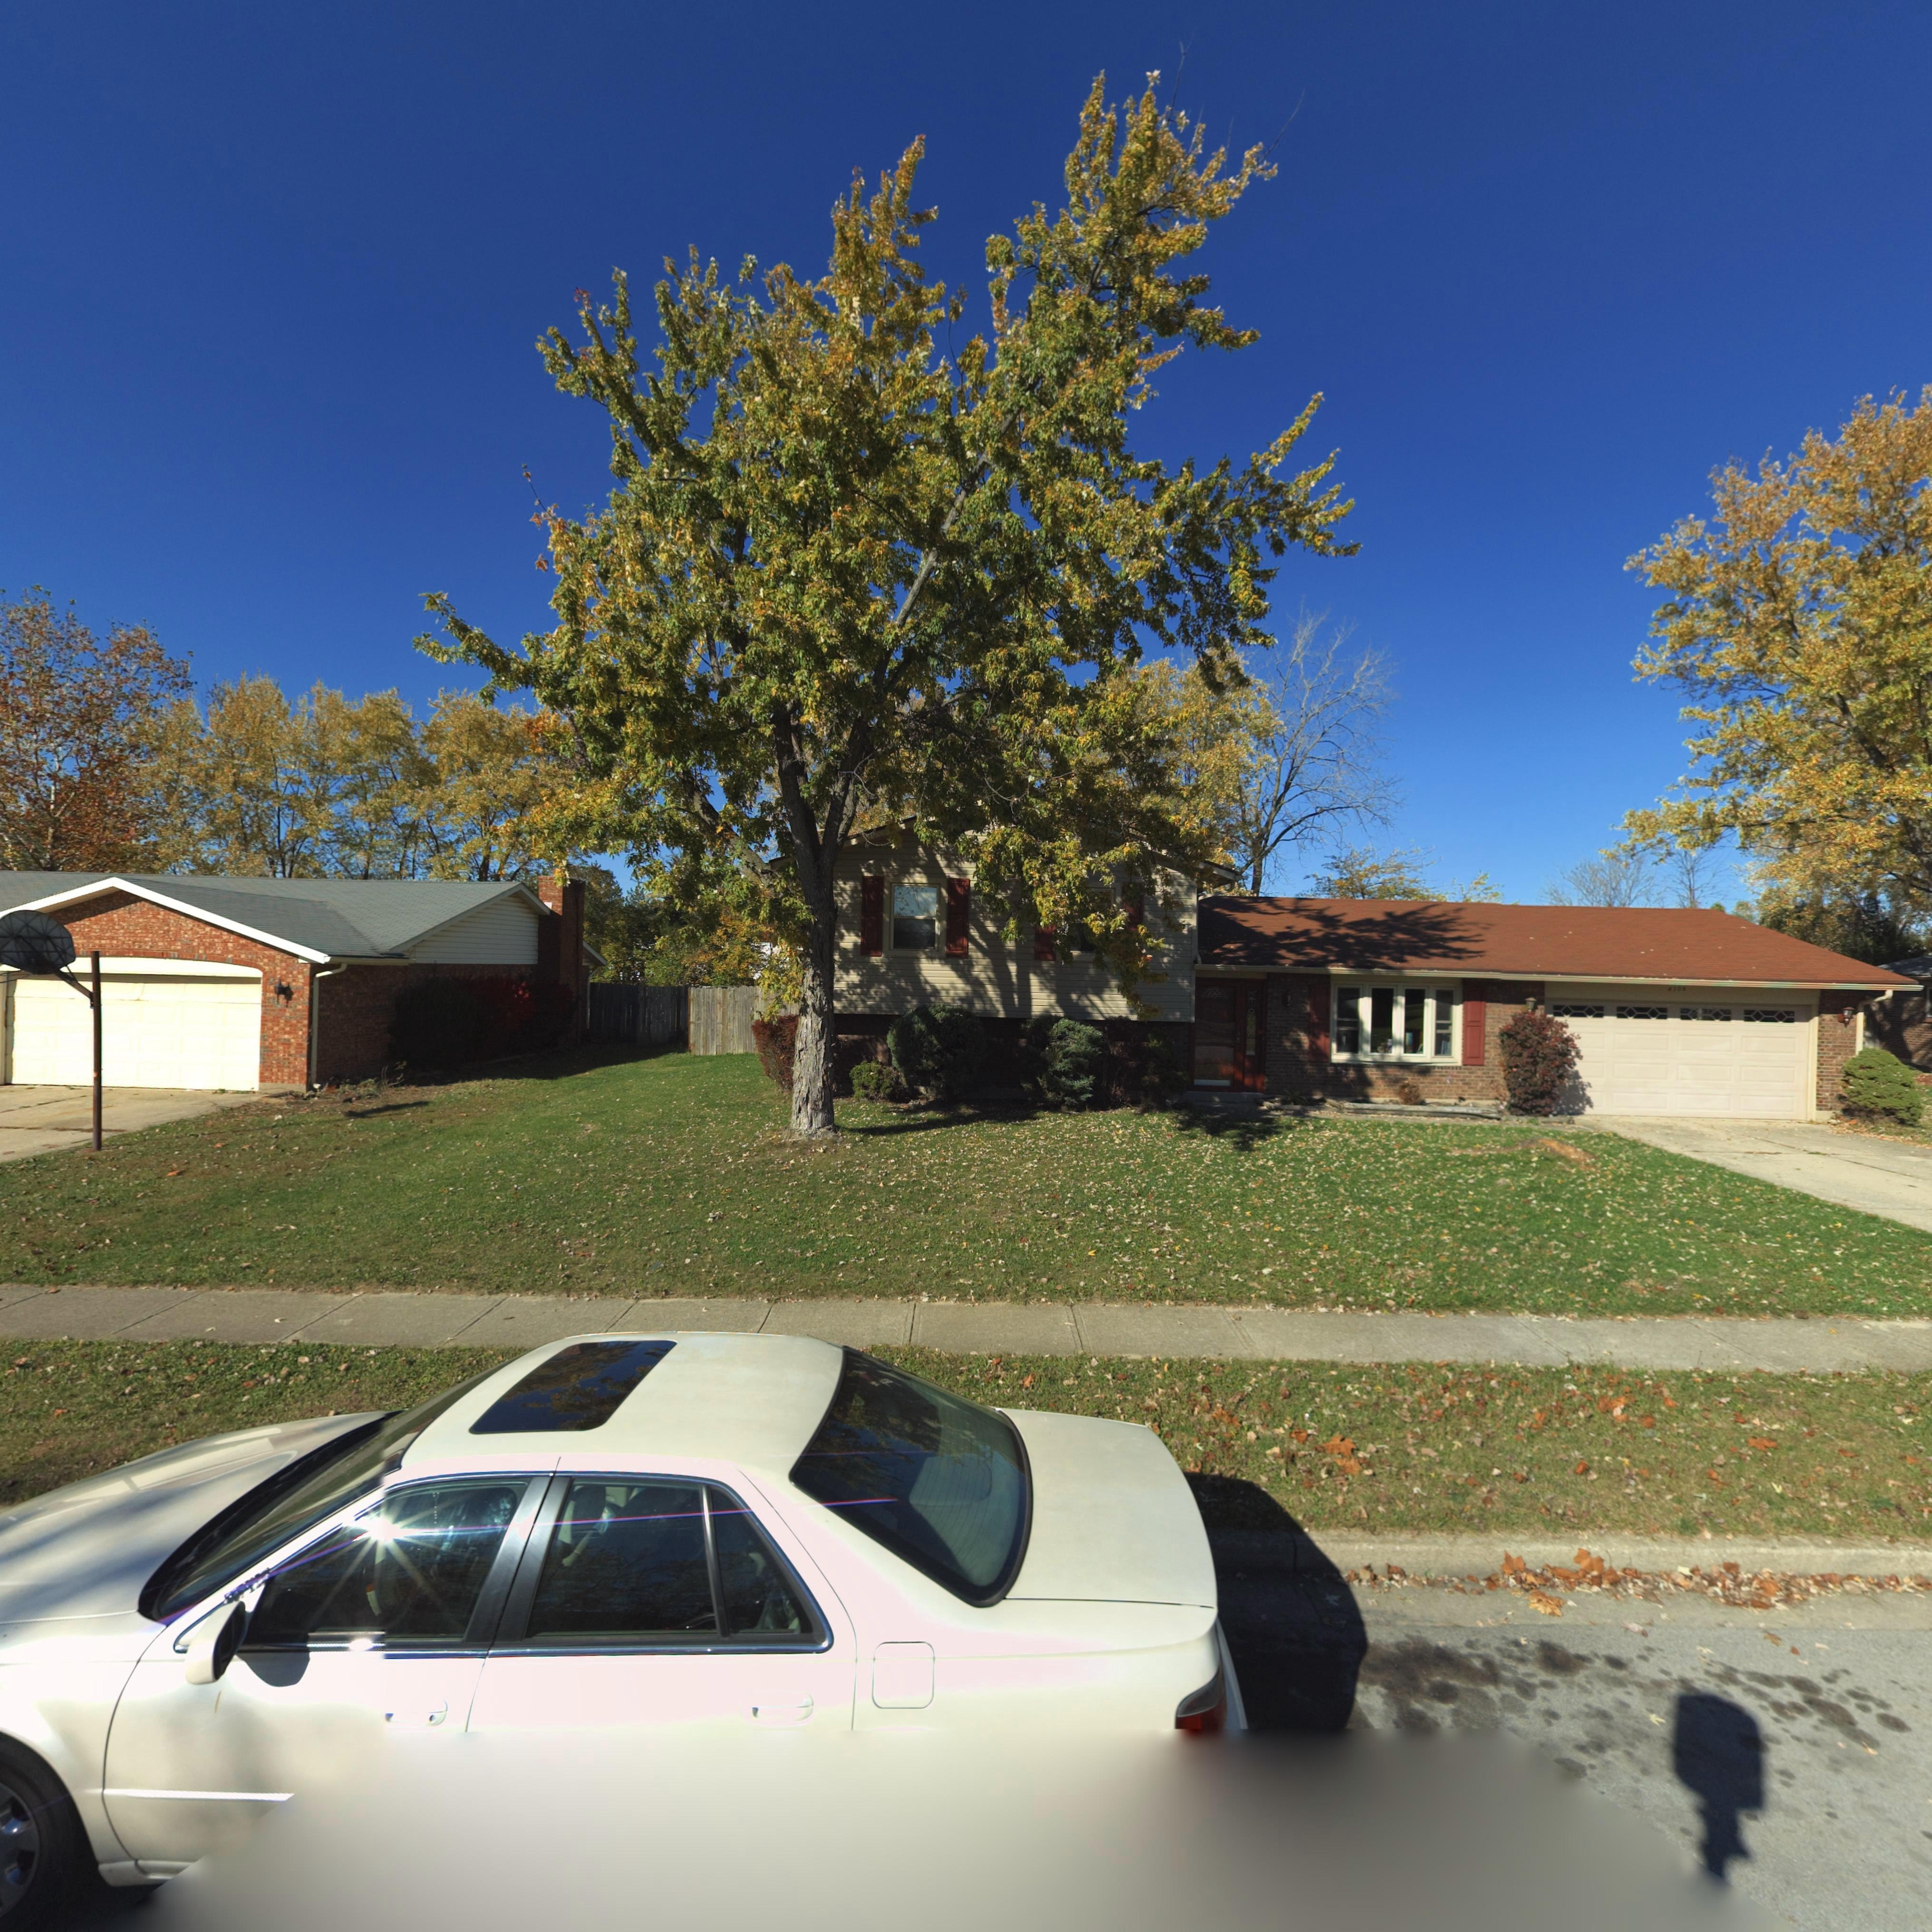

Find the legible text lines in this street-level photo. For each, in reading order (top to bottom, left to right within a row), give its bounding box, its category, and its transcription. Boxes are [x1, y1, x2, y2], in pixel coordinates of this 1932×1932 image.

[1667, 986, 1687, 992] StreetNumber: 4309